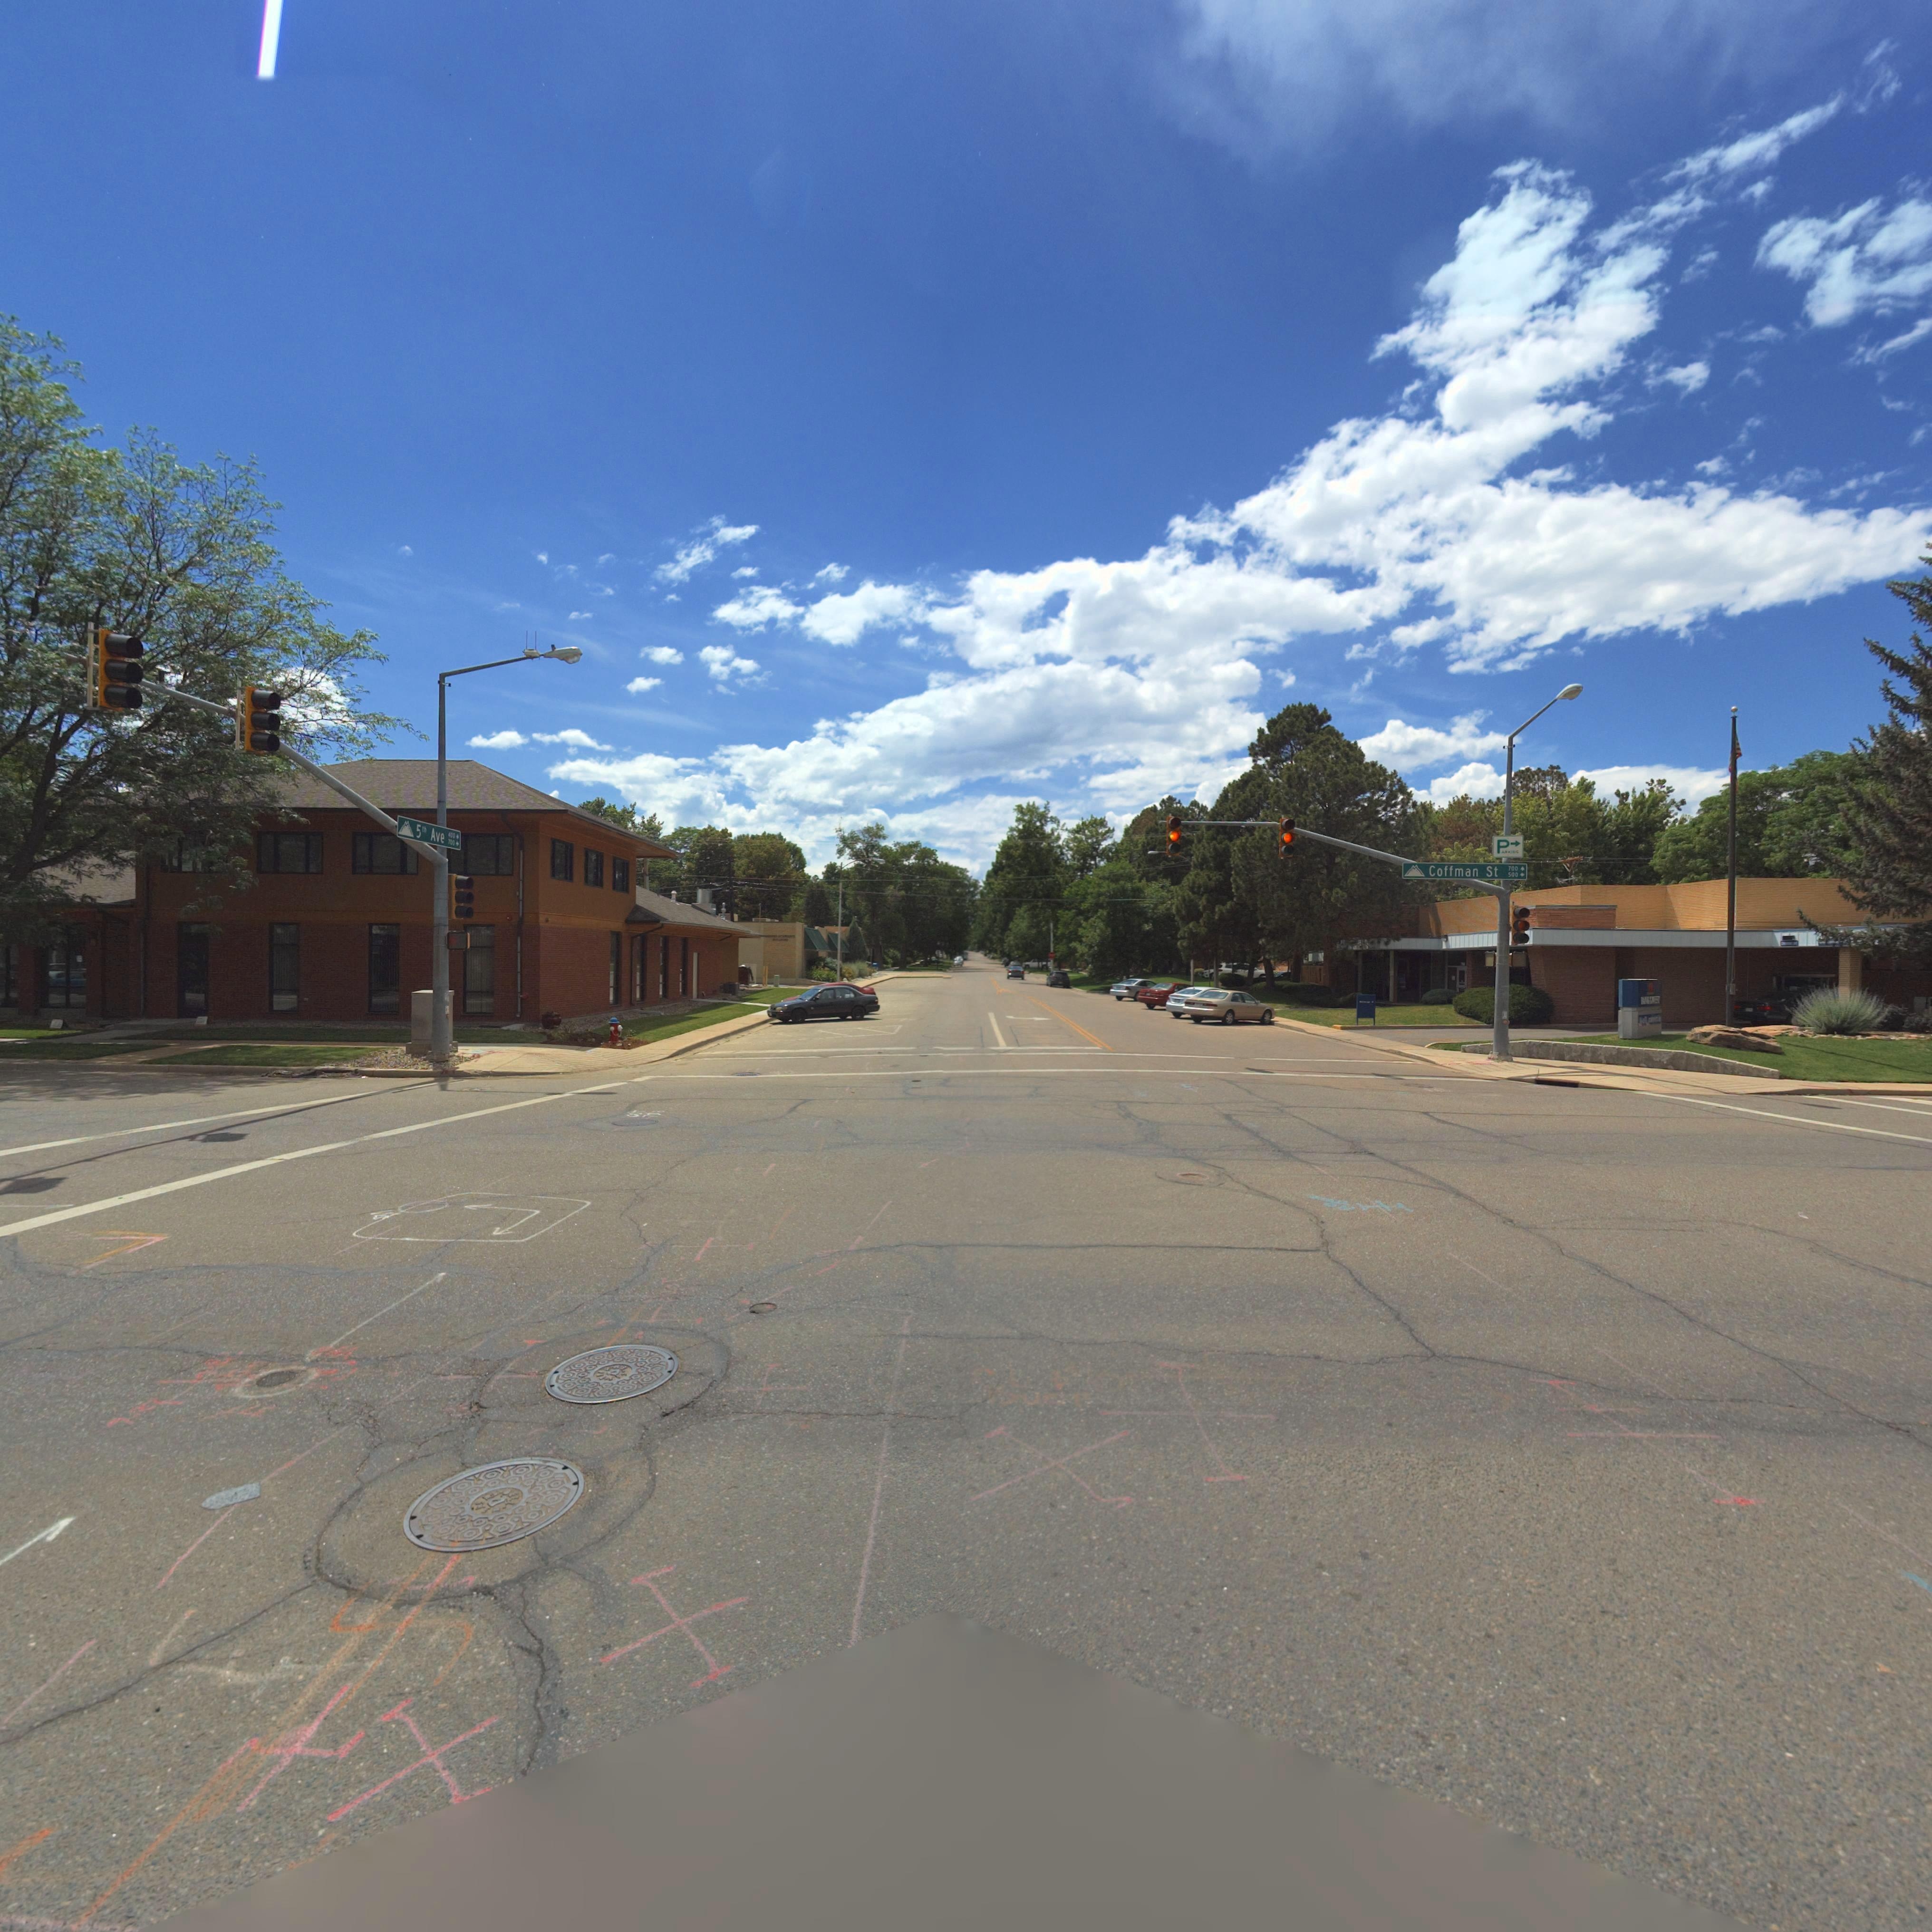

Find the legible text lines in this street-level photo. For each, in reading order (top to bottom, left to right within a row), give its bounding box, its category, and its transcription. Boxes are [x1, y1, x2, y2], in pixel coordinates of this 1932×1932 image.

[415, 823, 445, 844] StreetName: 5th Ave
[447, 831, 455, 838] StreetNumberRange: 400
[447, 838, 459, 846] StreetNumberRange: 700->
[1508, 866, 1518, 871] StreetNumberRange: 700
[1507, 872, 1525, 877] StreetNumberRange: 500->
[1640, 996, 1649, 1005] BusinessName: BANK
[1649, 996, 1652, 1000] BusinessName: OF
[1649, 1000, 1652, 1004] BusinessName: THE
[1652, 995, 1660, 1004] BusinessName: WEST